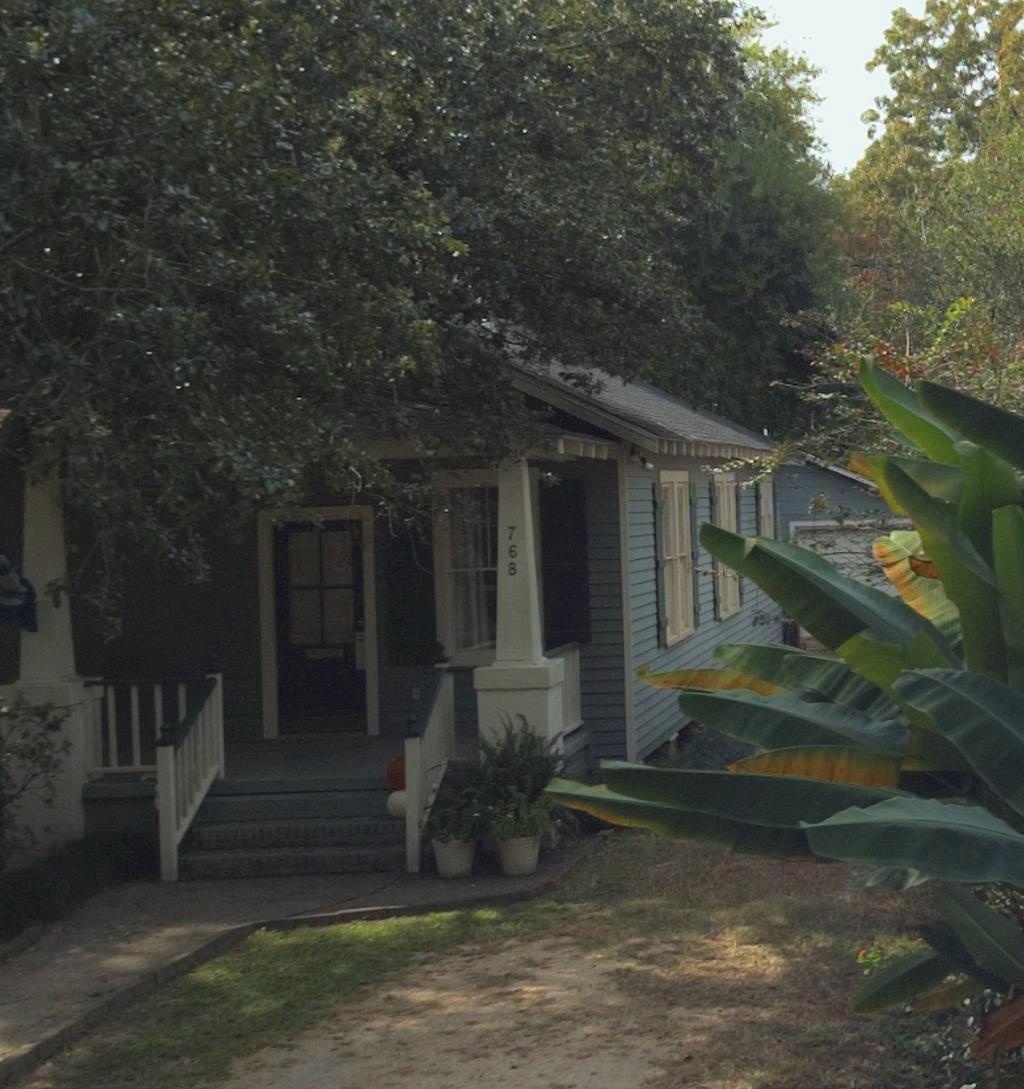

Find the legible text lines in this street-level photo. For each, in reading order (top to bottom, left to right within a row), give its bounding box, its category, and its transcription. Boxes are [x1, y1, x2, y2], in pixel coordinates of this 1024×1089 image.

[505, 522, 520, 579] StreetNumber: 768